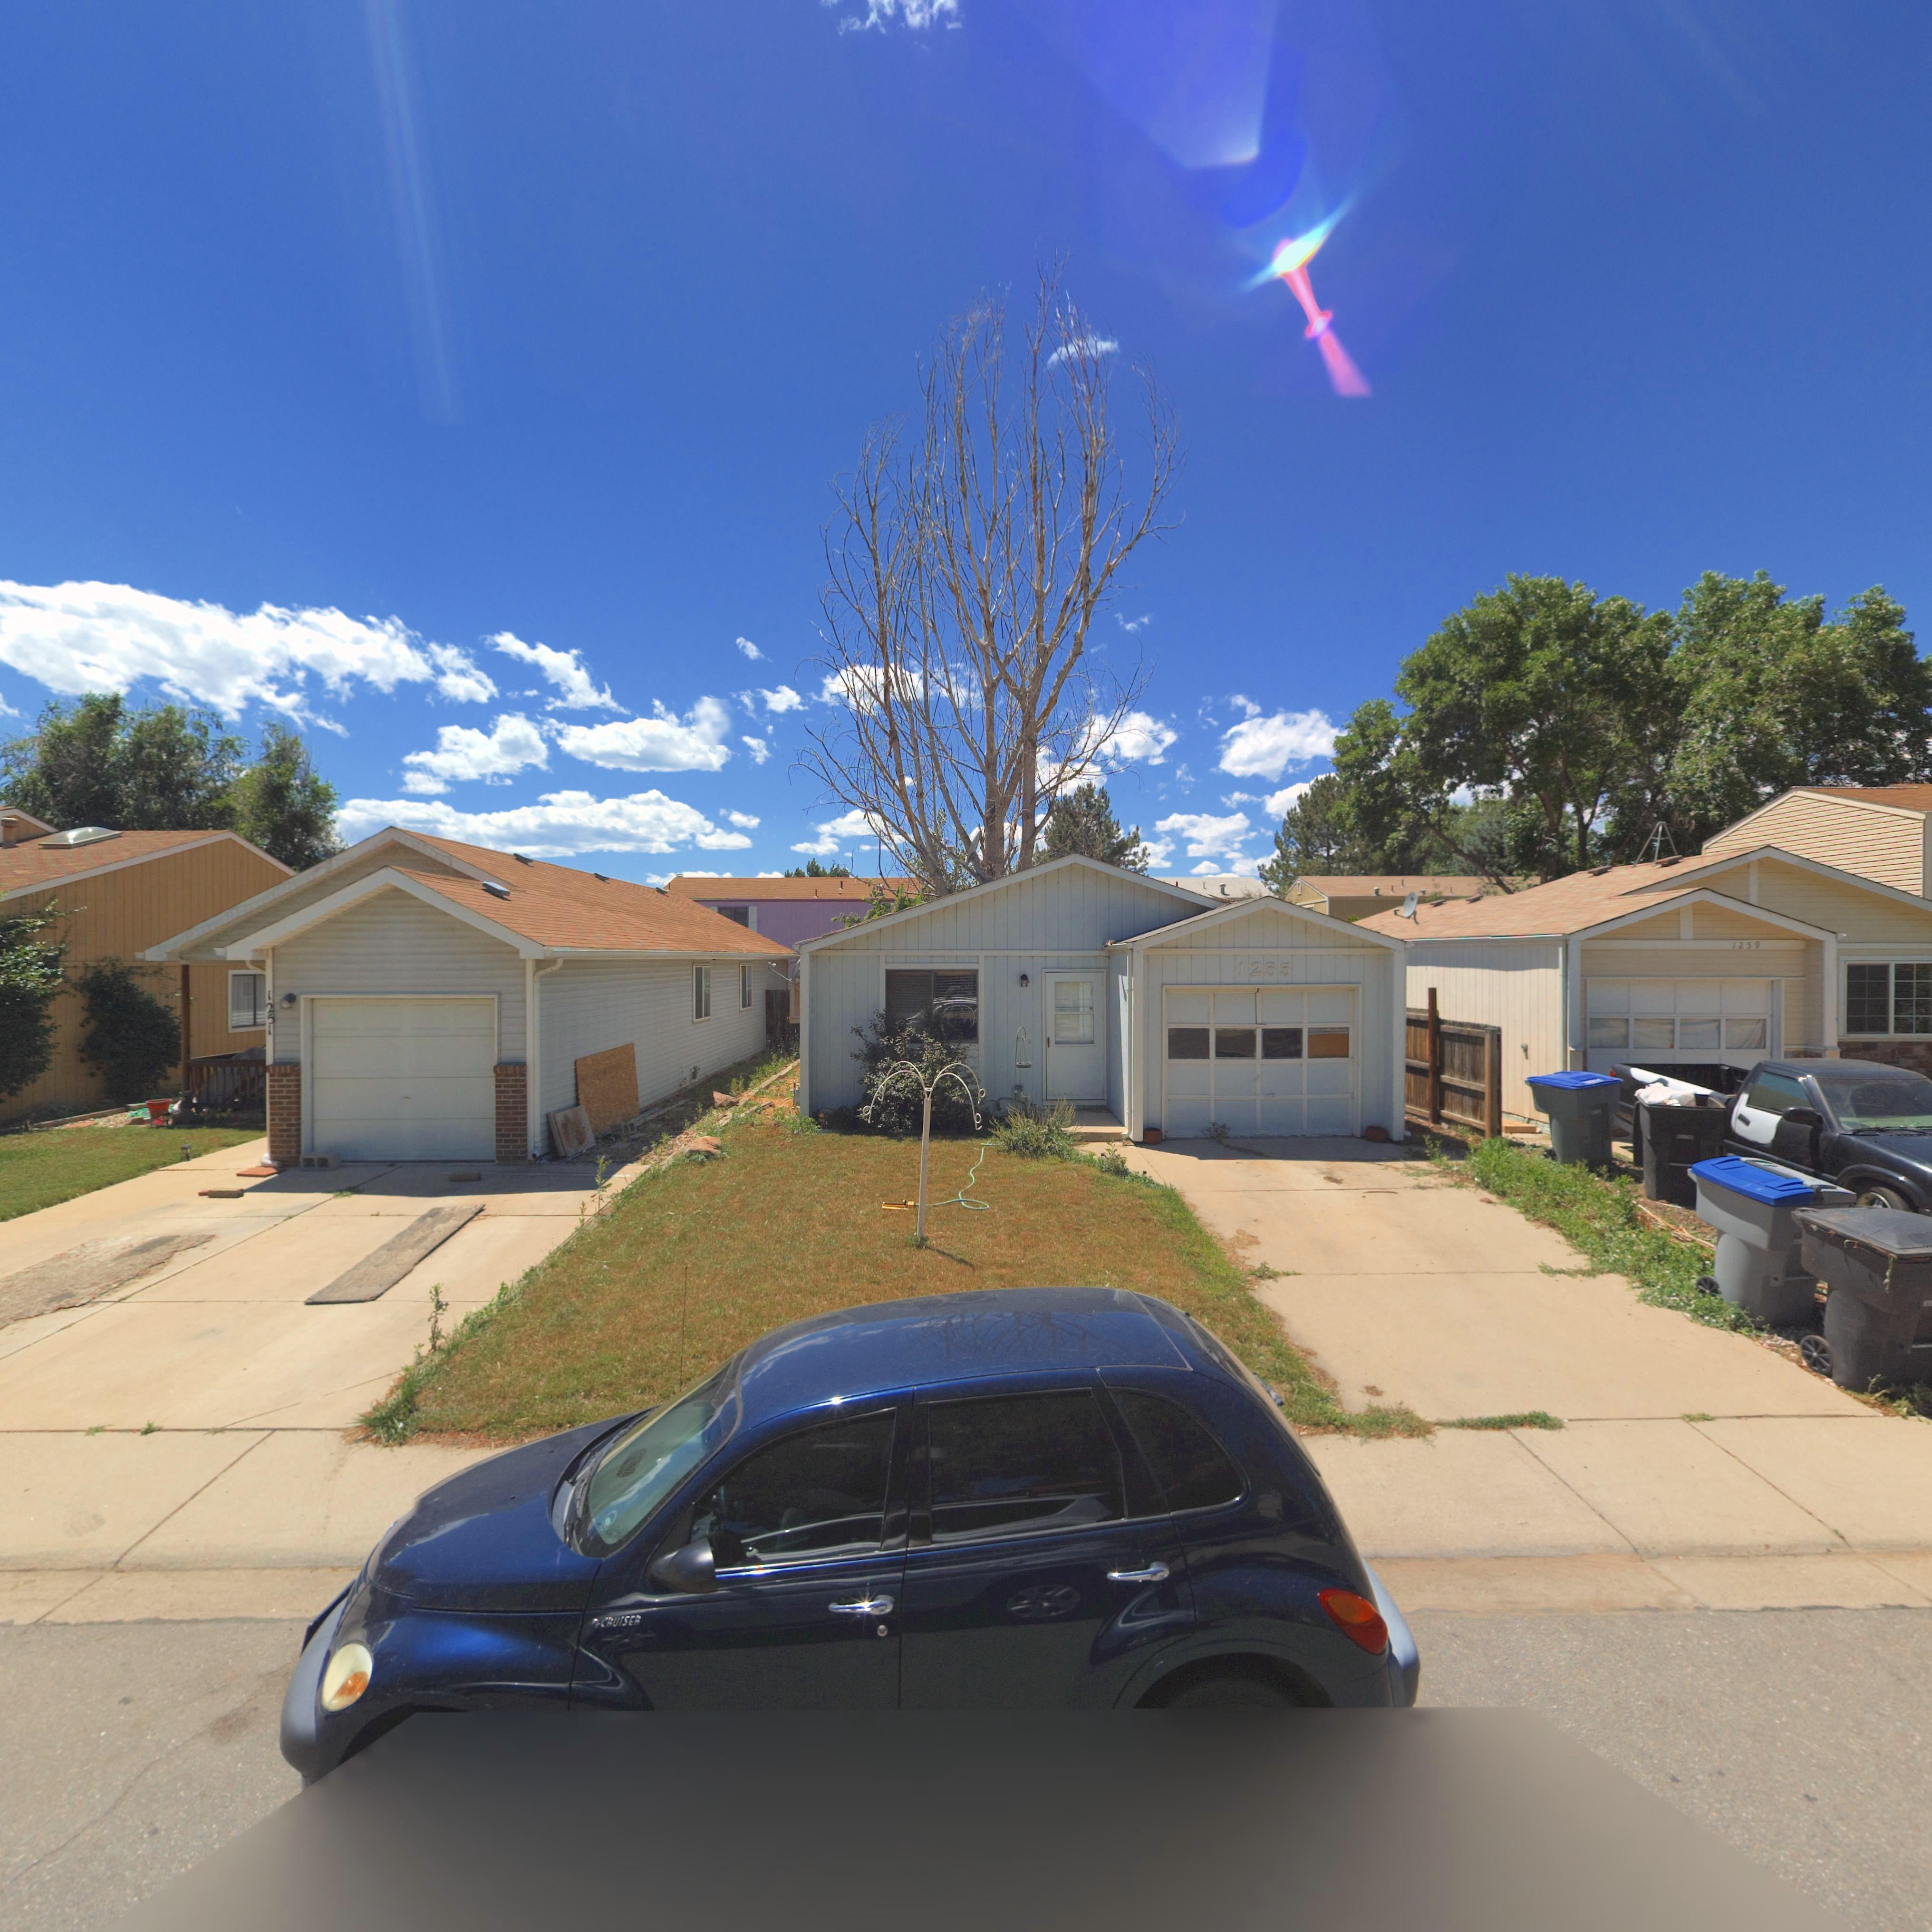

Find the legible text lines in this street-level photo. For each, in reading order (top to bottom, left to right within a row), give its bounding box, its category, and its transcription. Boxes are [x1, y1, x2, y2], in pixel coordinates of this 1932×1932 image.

[1730, 940, 1761, 950] StreetNumber: 1259
[1237, 961, 1293, 977] StreetNumber: 1255
[265, 989, 276, 1036] StreetNumber: 1251